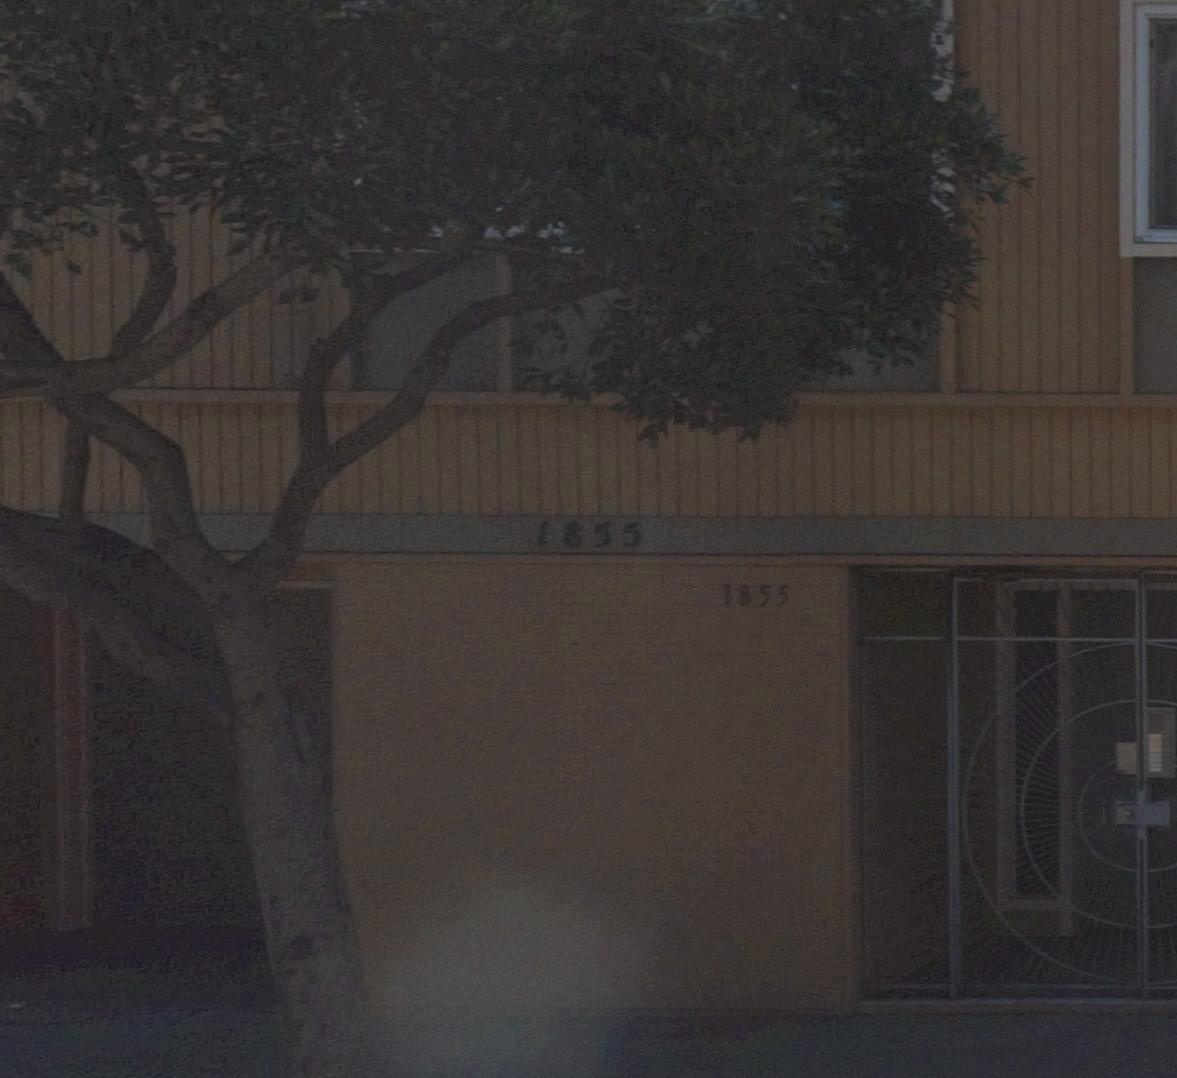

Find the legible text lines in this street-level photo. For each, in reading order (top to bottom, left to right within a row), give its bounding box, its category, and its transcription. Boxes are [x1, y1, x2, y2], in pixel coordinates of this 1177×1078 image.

[530, 516, 644, 554] StreetNumber: 1855
[715, 579, 789, 608] StreetNumber: 1855